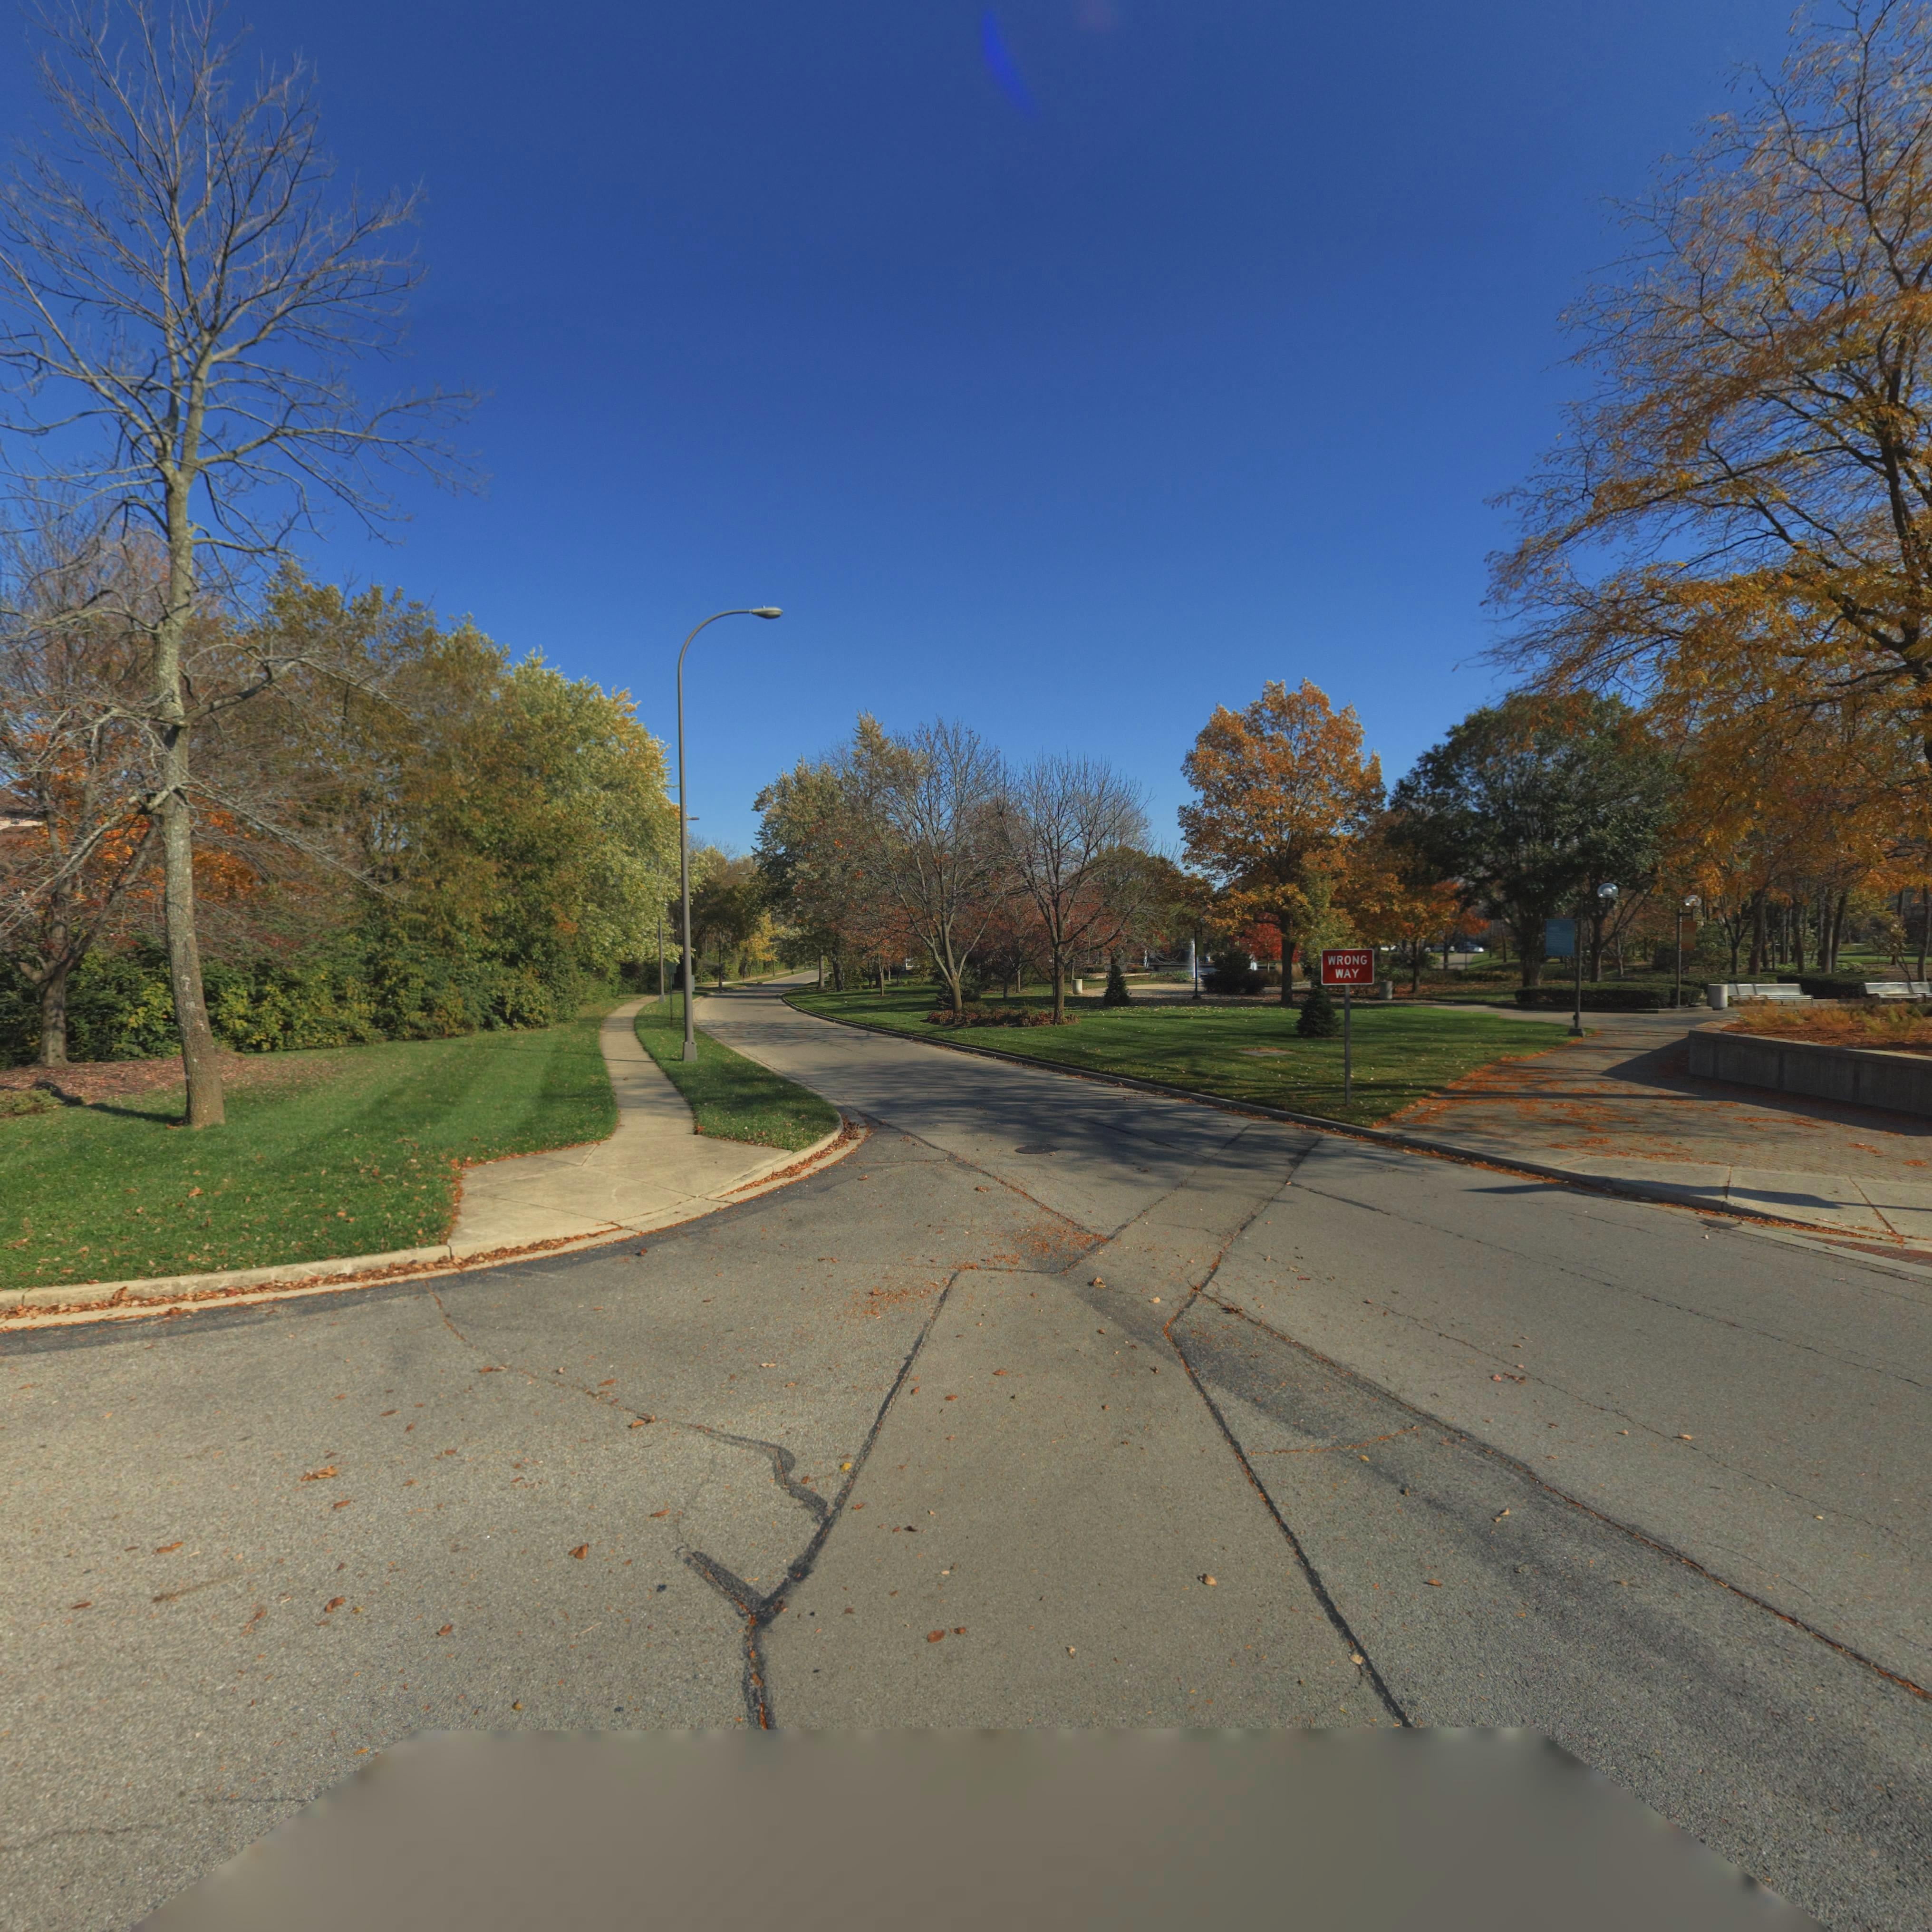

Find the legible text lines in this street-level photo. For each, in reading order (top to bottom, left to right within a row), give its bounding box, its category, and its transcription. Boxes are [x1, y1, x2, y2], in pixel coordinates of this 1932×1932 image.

[1327, 954, 1368, 966] None: WRONG
[1334, 968, 1359, 979] None: WAY